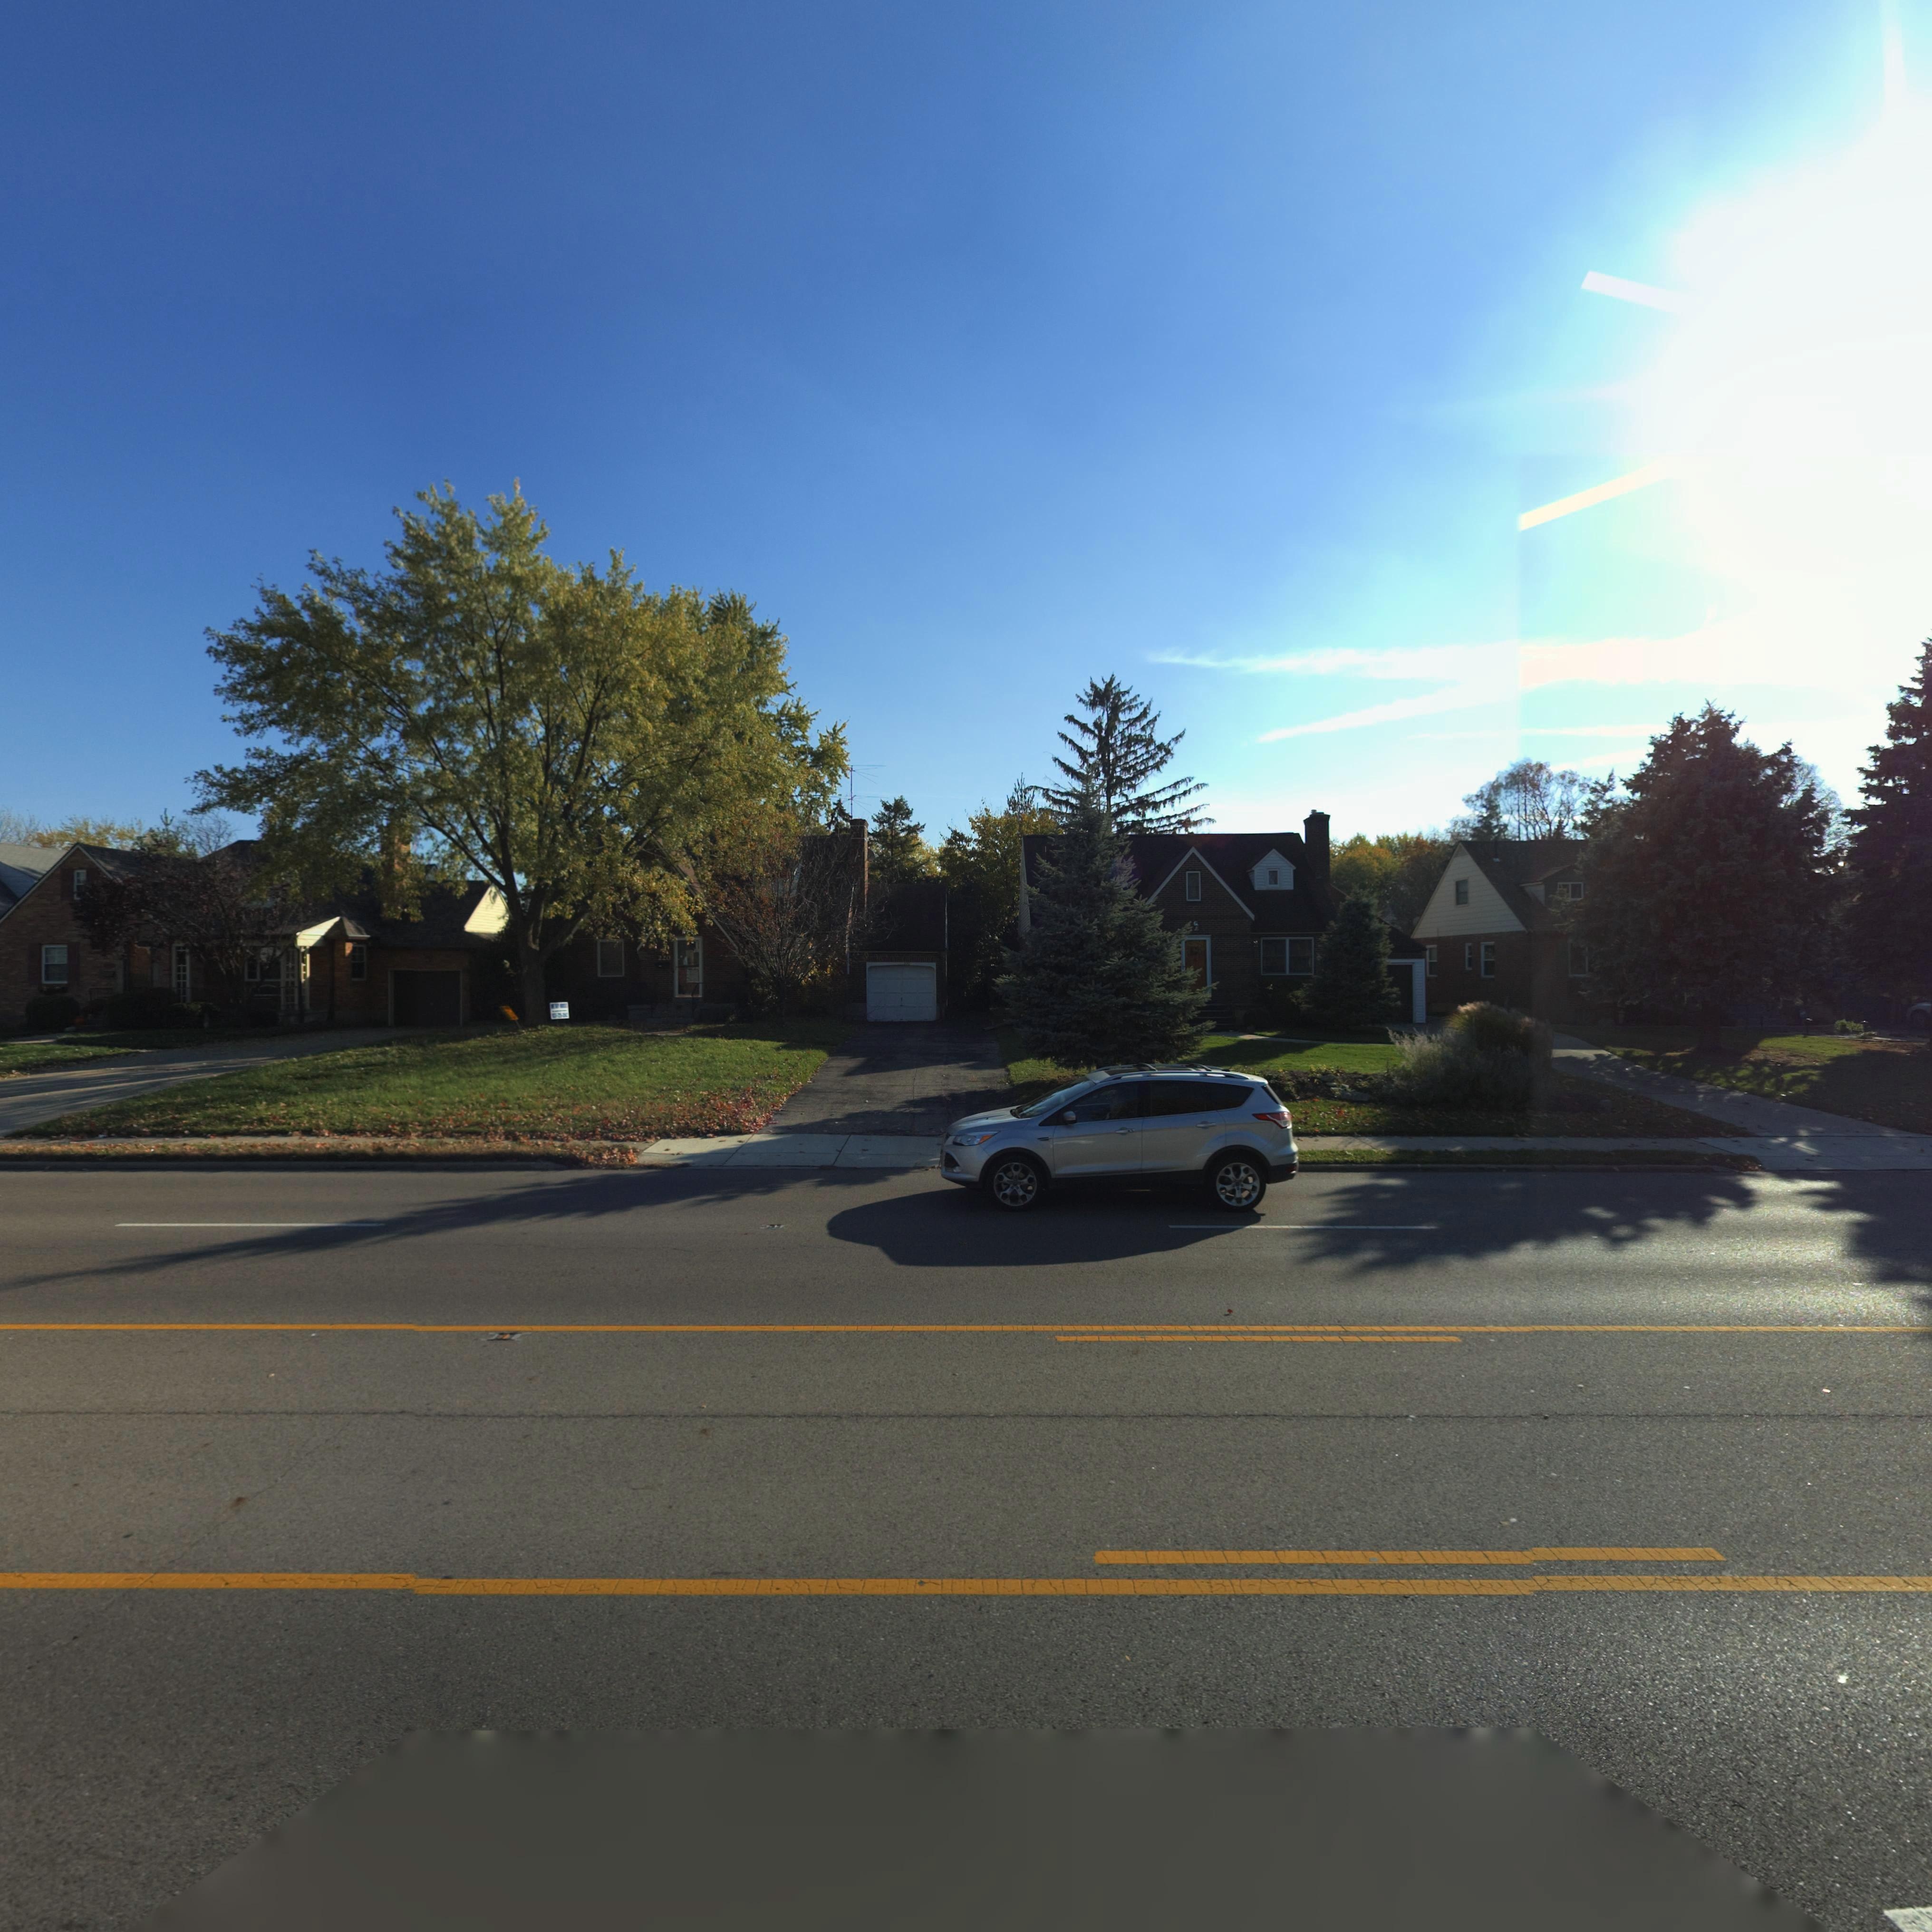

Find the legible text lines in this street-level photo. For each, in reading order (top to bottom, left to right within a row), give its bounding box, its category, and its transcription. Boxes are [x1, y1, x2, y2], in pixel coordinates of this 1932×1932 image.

[657, 954, 672, 962] StreetNumber: 220